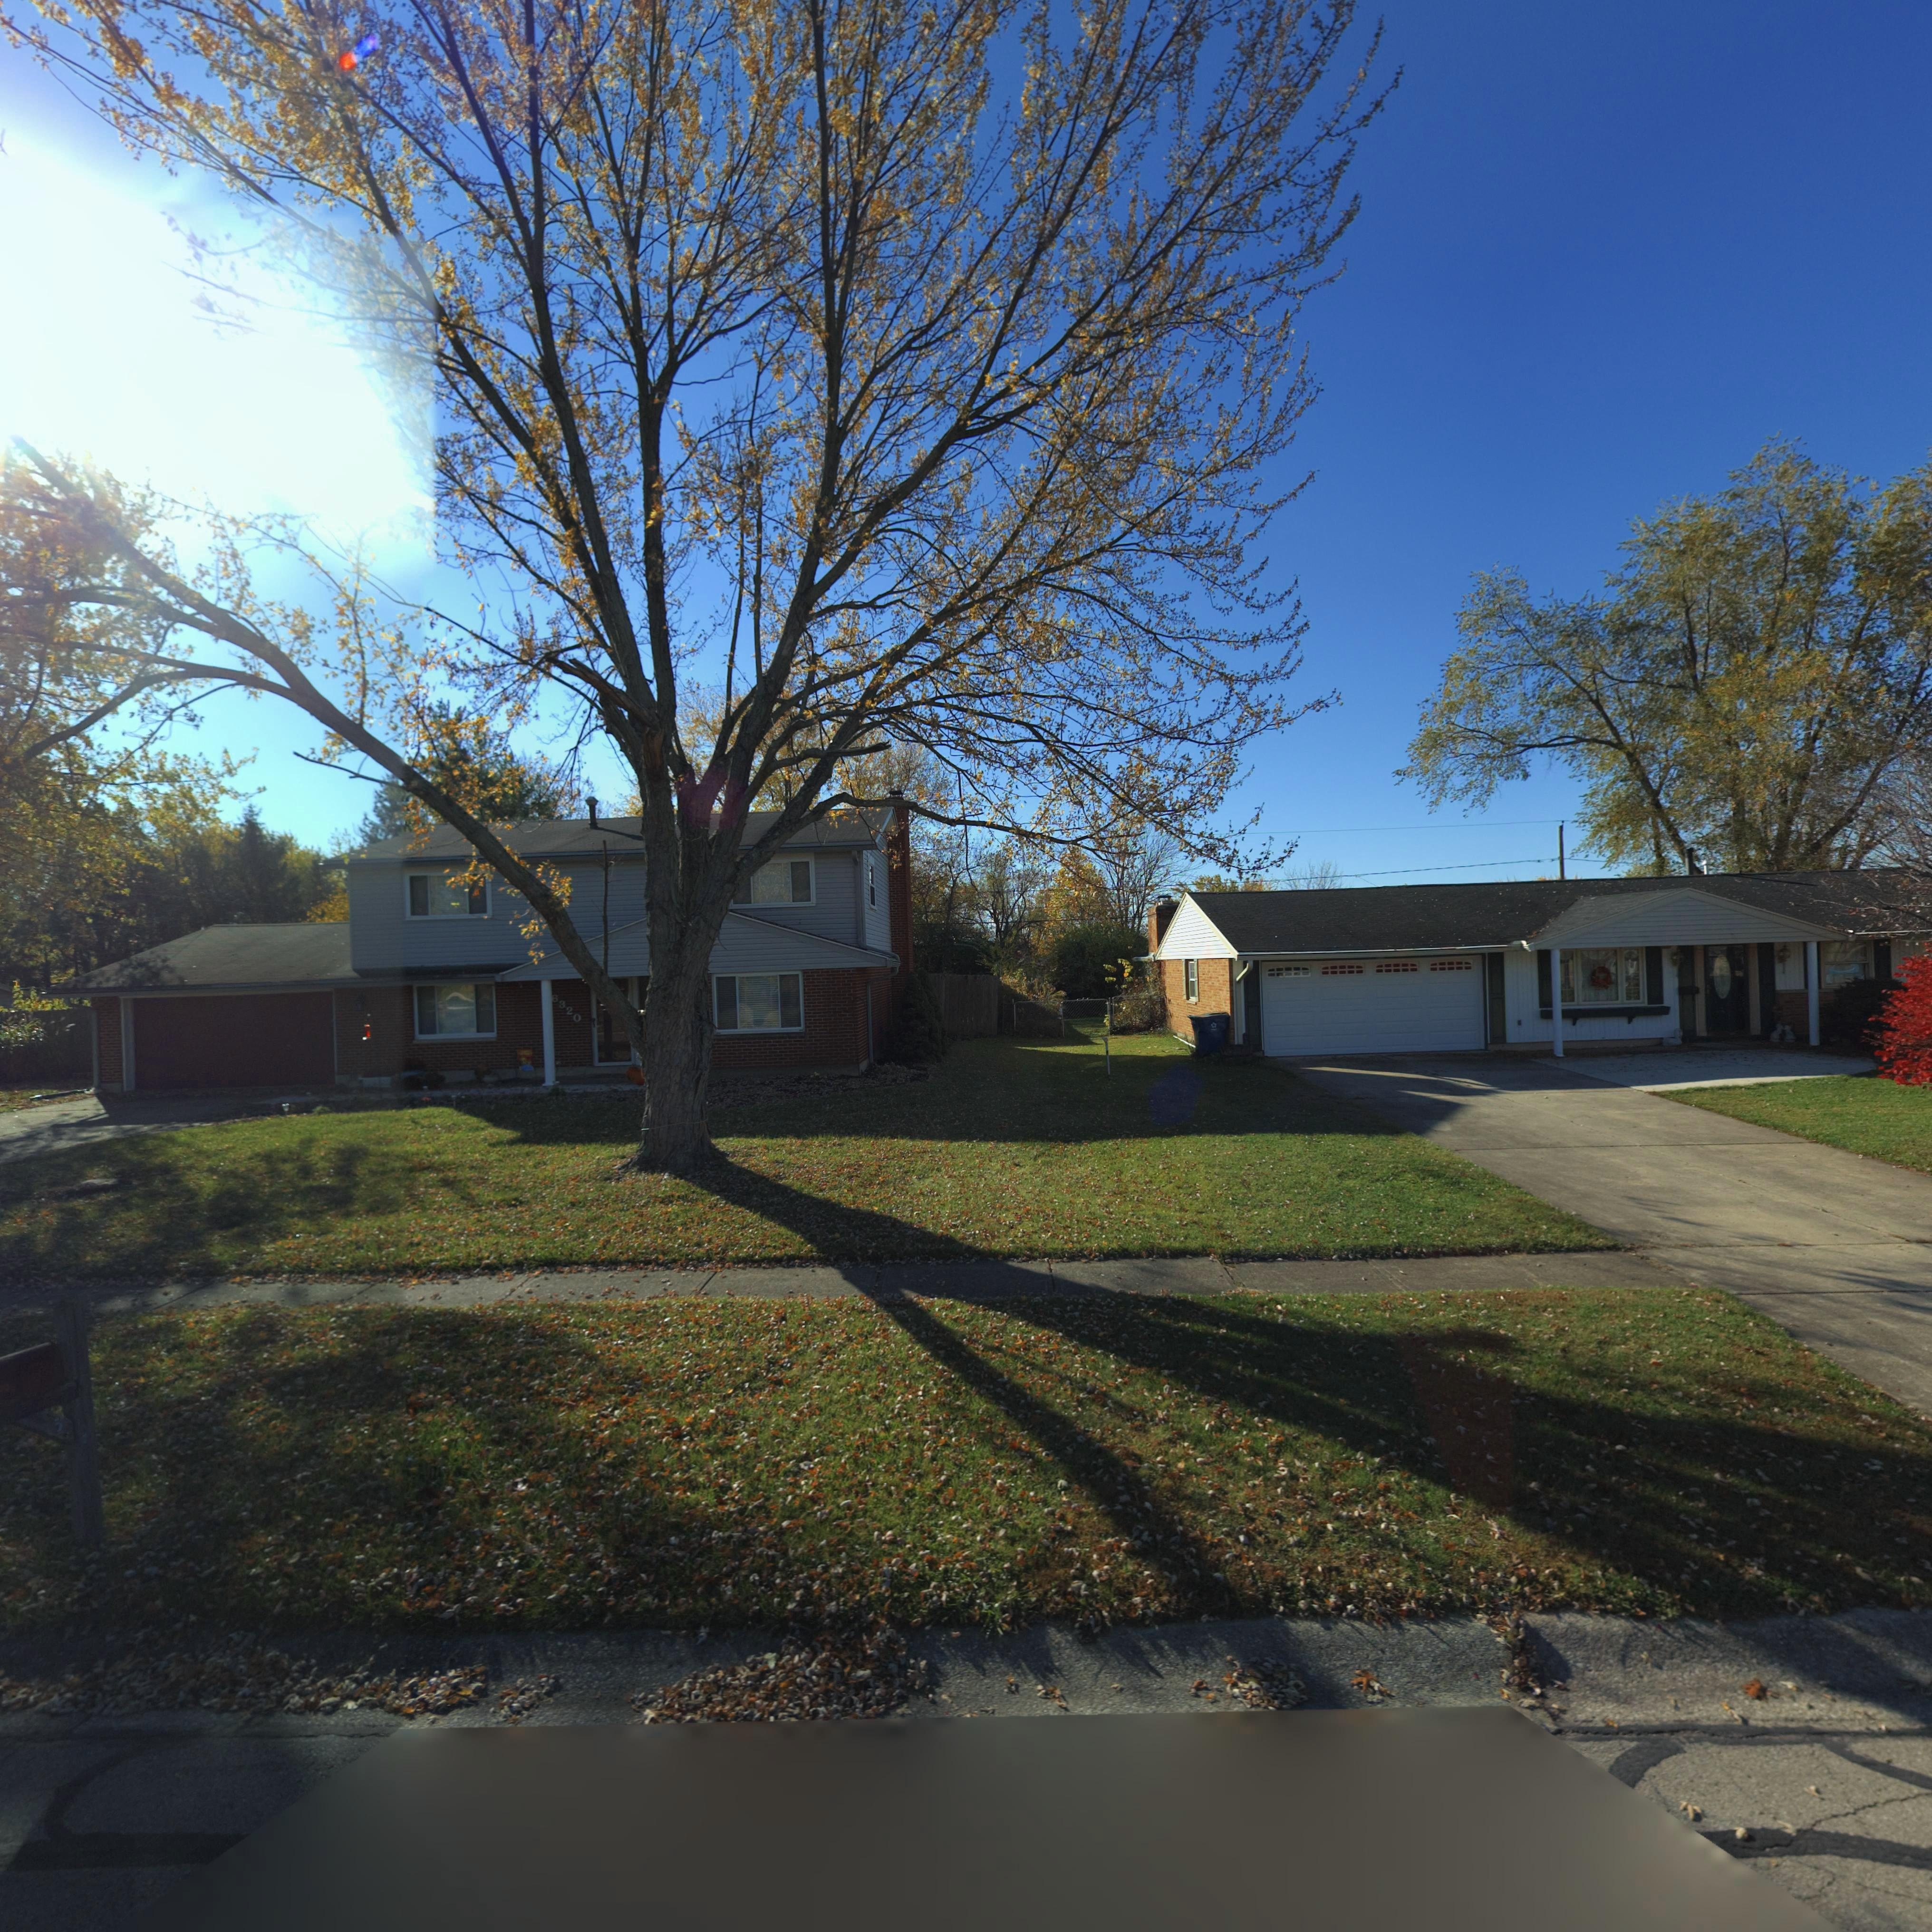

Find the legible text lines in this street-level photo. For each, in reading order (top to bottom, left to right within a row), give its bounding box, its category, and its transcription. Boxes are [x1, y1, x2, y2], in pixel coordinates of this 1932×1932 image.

[551, 993, 583, 1023] StreetNumber: 6320